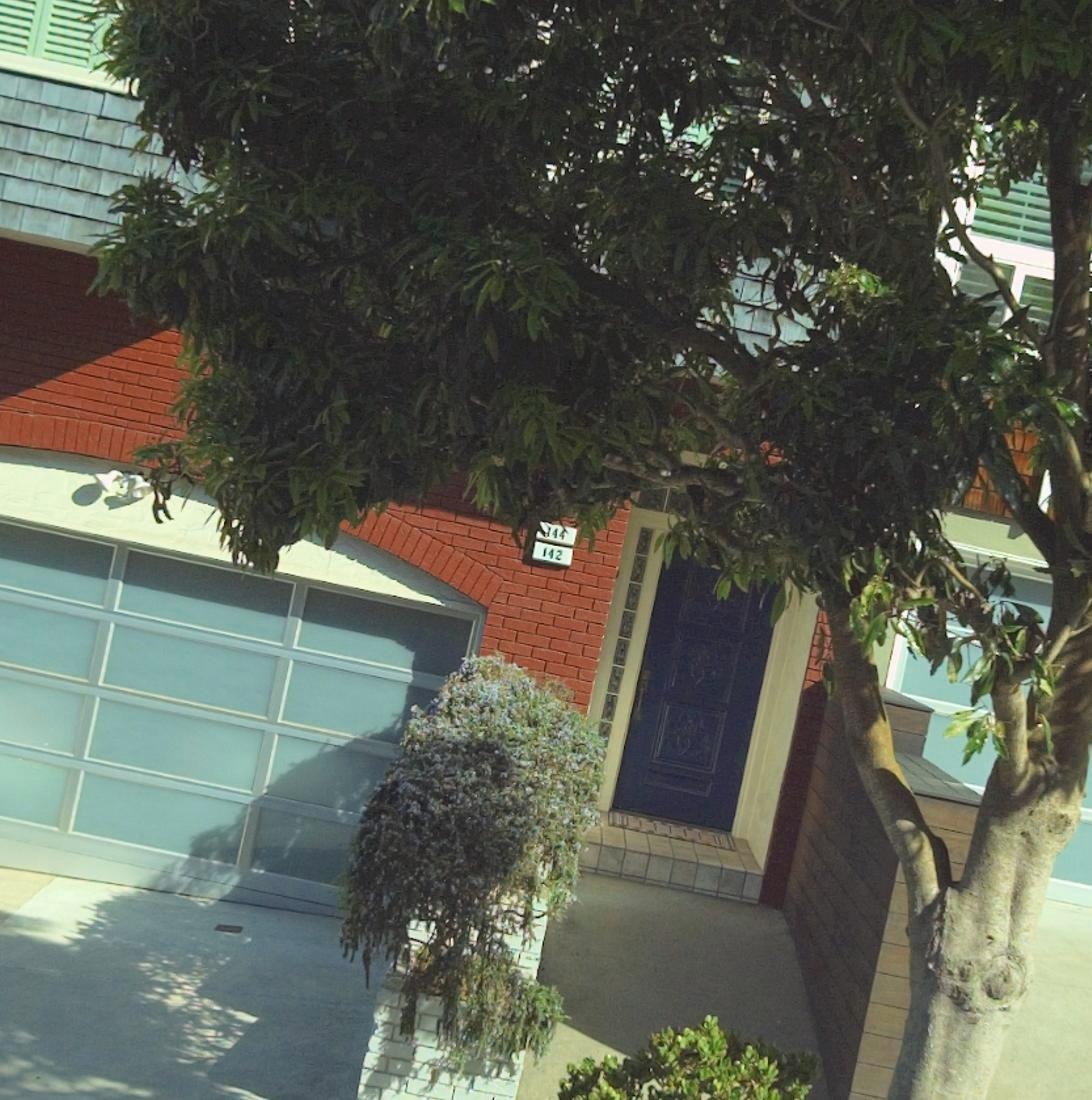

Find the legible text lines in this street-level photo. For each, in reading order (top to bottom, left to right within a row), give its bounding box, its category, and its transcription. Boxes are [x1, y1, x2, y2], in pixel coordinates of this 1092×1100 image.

[545, 524, 570, 543] StreetNumber: 144
[541, 544, 564, 563] StreetNumber: 142